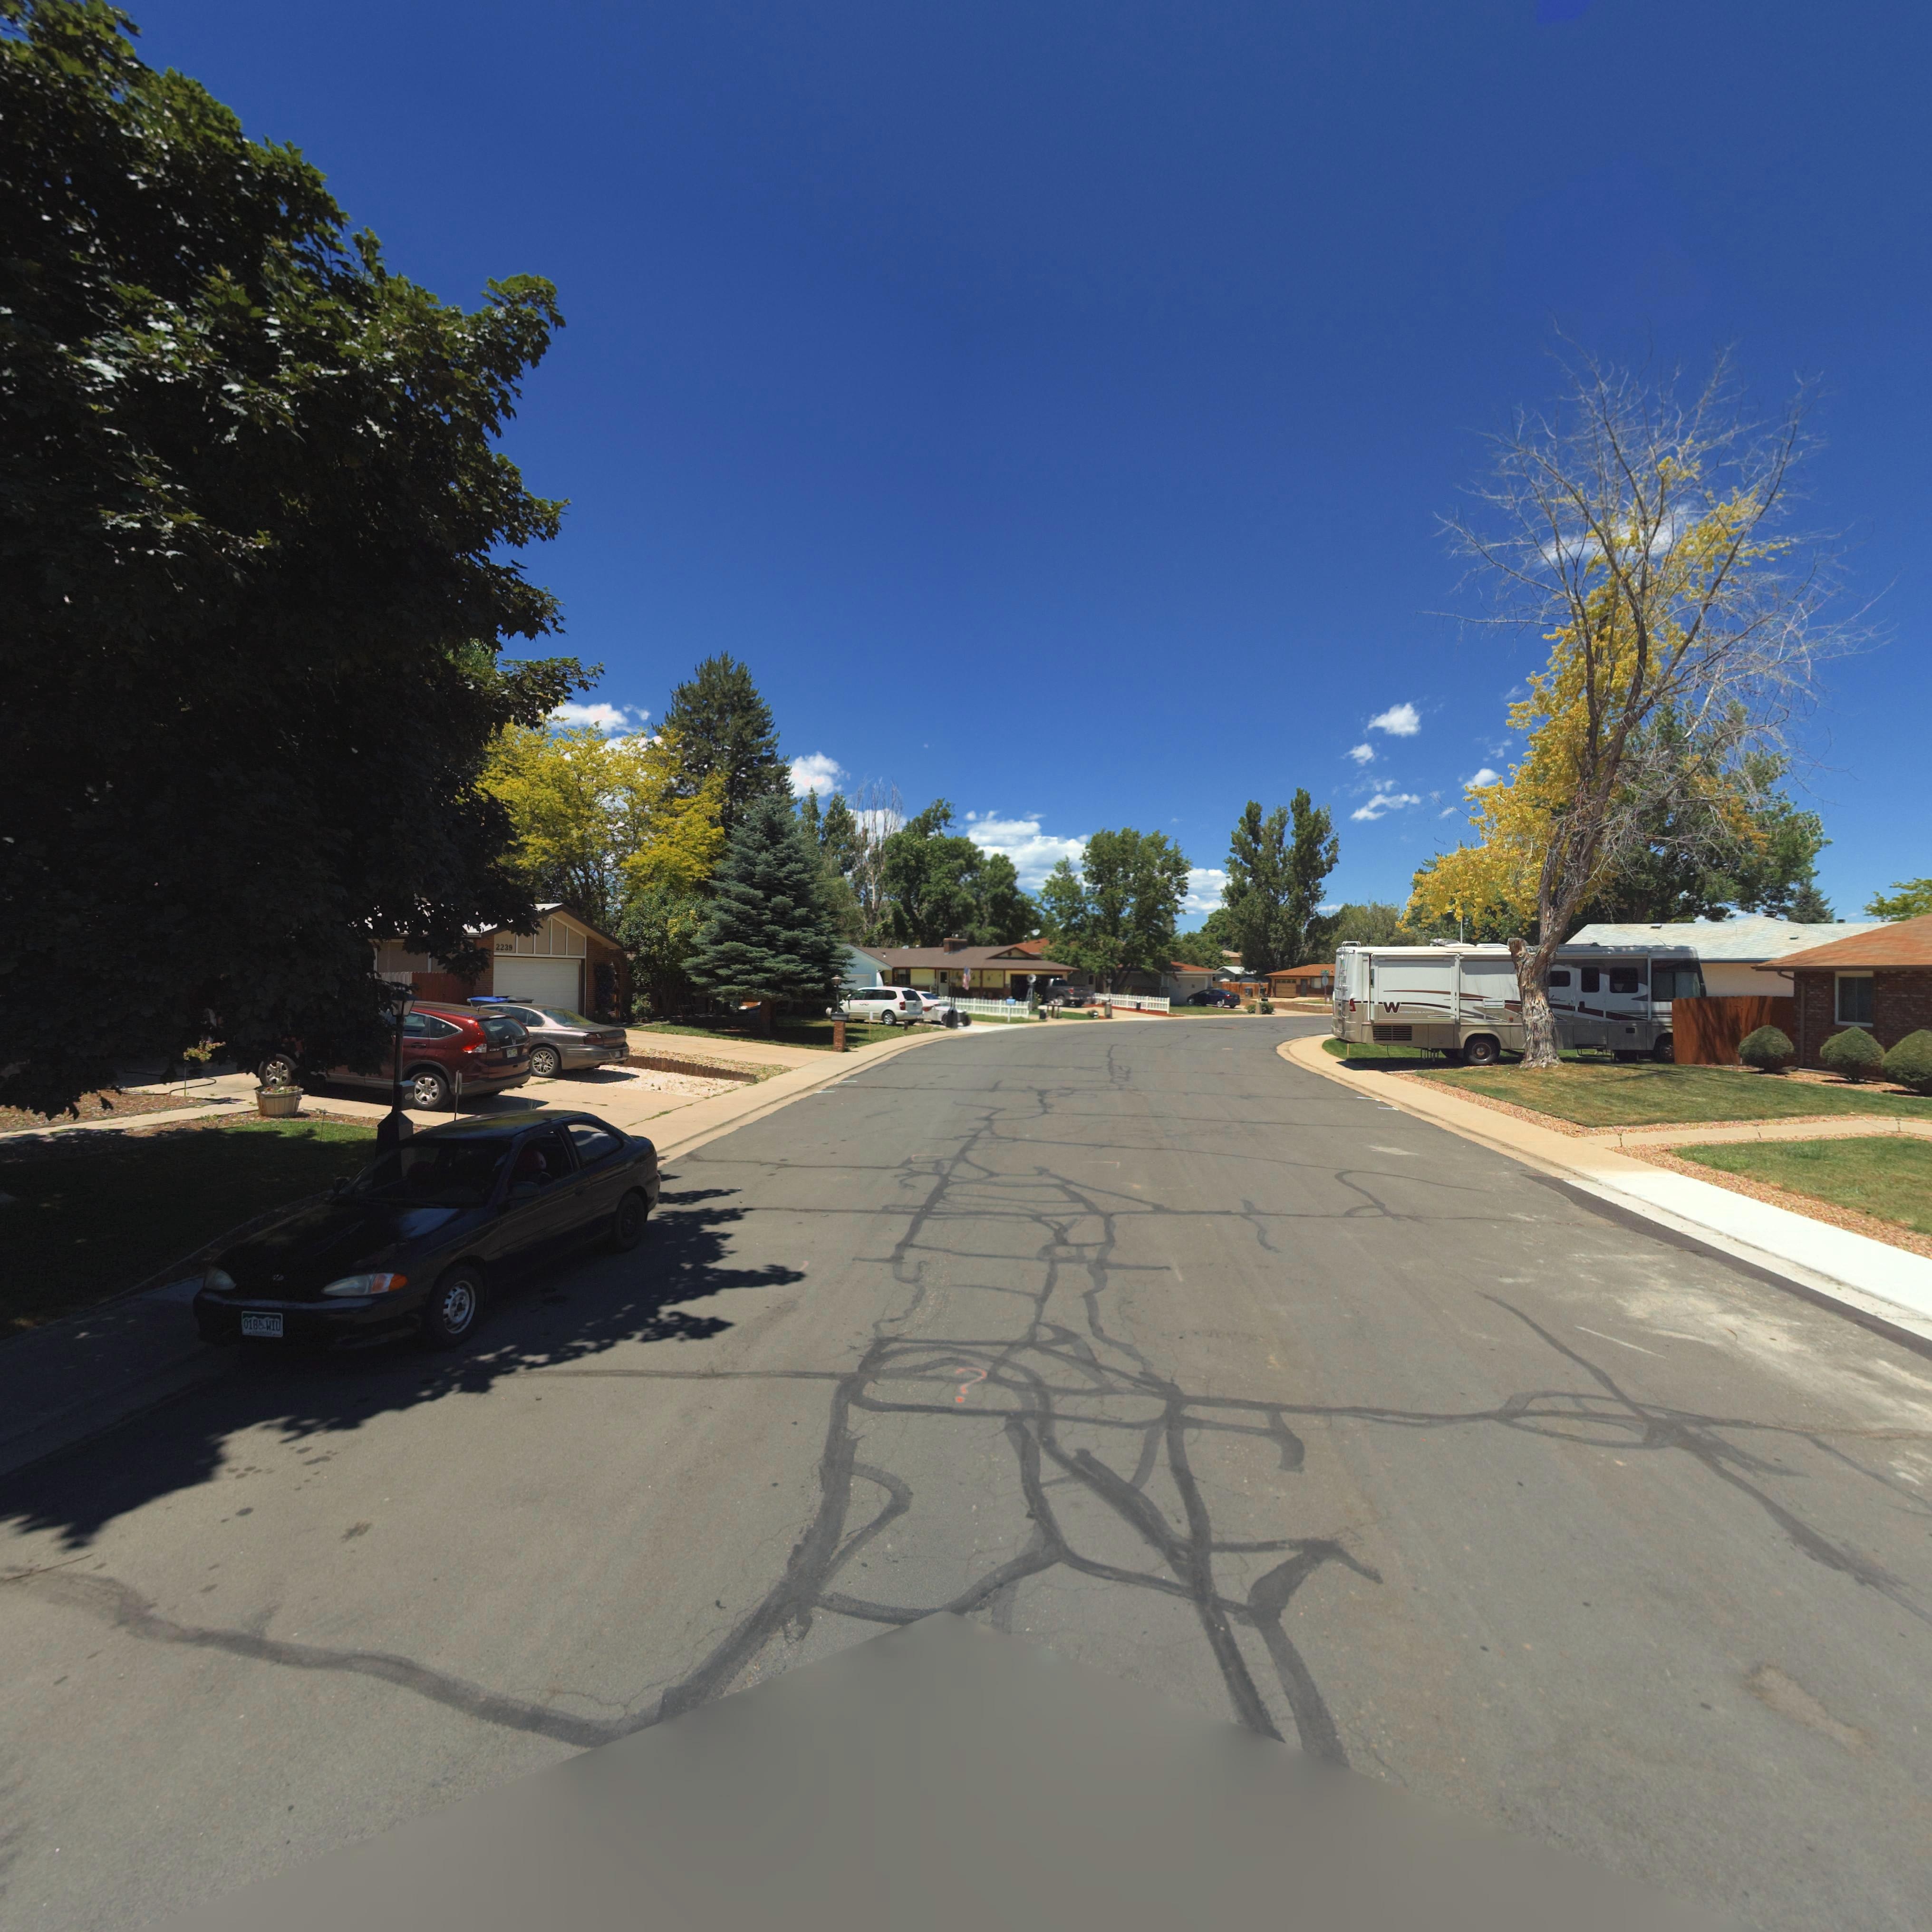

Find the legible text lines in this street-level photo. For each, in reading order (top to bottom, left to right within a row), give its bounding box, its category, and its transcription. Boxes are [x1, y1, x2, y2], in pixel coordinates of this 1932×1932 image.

[495, 943, 512, 950] StreetNumber: 2239